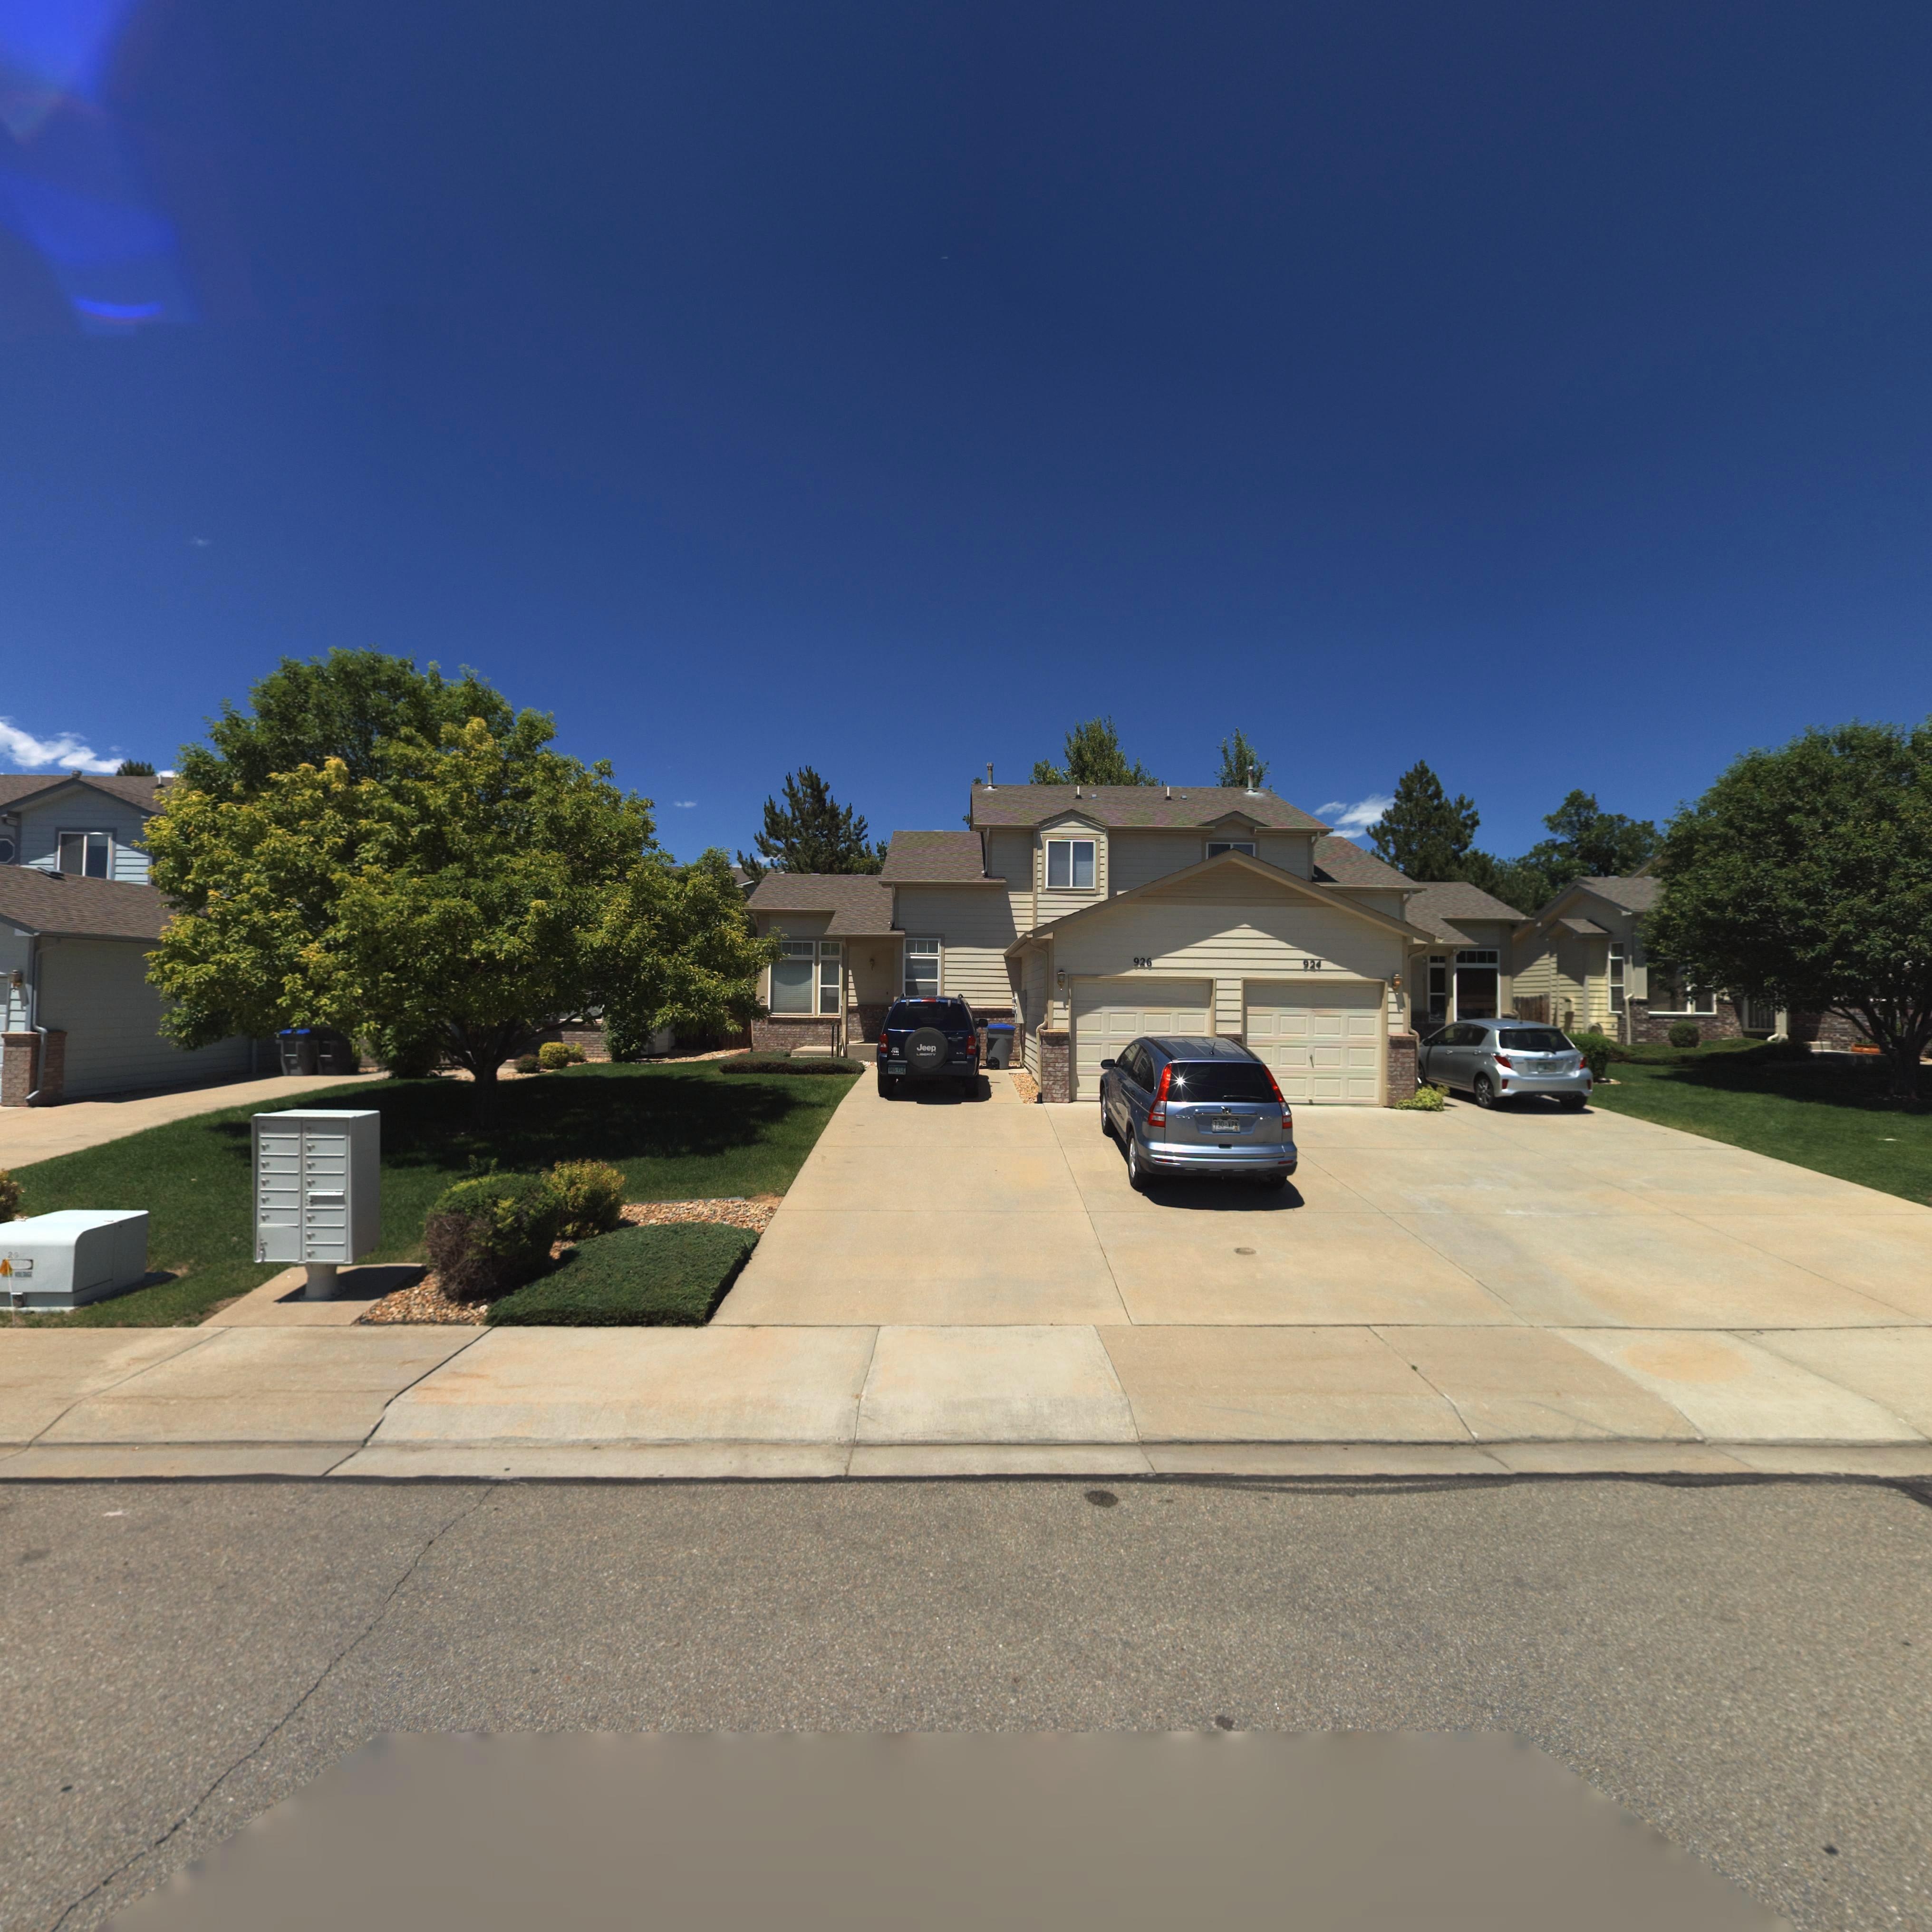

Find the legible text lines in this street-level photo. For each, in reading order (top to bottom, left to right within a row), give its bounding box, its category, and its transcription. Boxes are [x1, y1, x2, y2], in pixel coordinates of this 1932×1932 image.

[1133, 956, 1152, 966] StreetNumber: 926
[1302, 958, 1322, 969] StreetNumber: 924